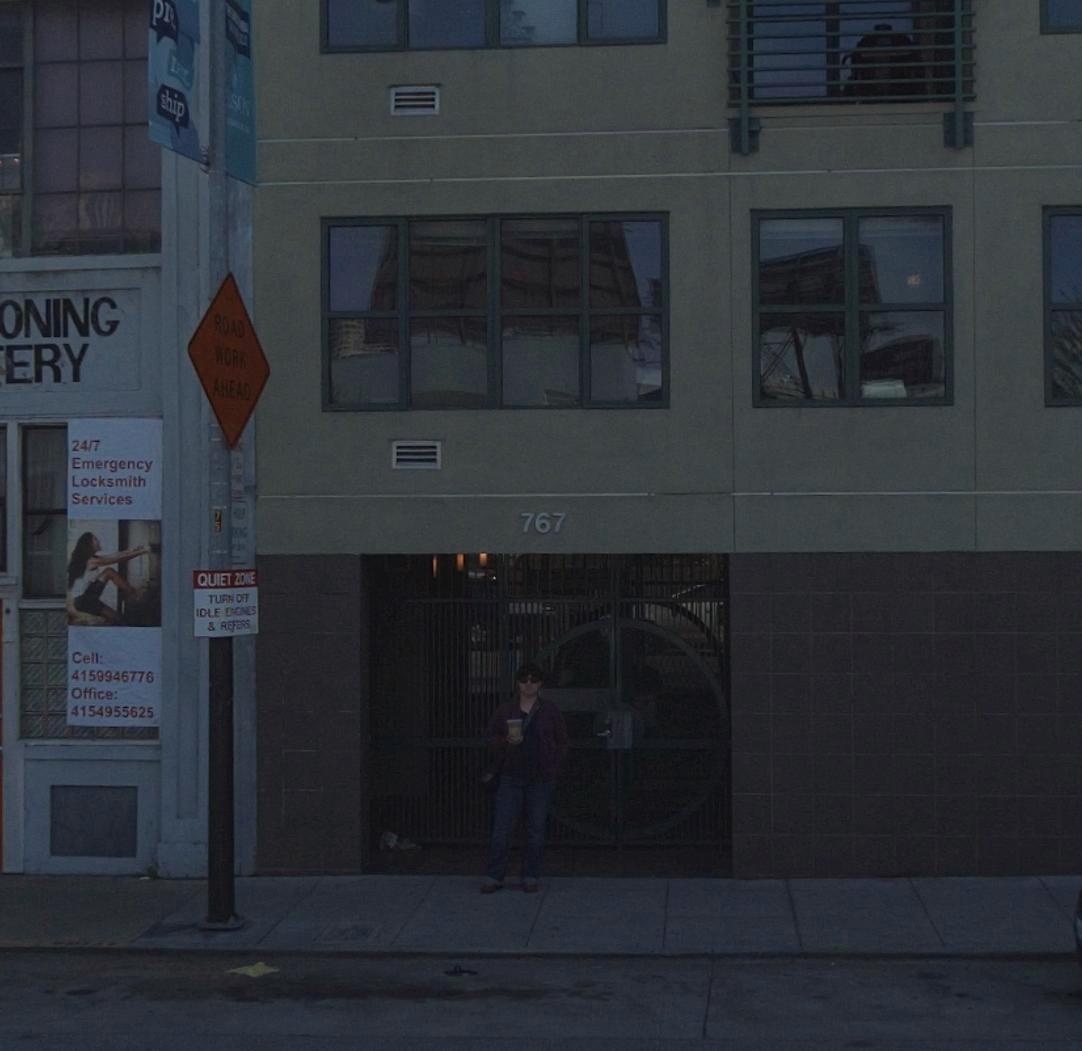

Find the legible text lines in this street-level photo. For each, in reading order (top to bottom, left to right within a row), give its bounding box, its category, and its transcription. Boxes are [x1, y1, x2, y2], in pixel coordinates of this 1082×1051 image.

[160, 87, 187, 123] None: ship
[22, 294, 123, 338] None: NING
[213, 312, 247, 339] None: ROAD
[4, 341, 92, 385] None: ERY
[213, 344, 248, 370] None: WORK
[211, 376, 252, 401] None: AHEAD
[70, 438, 102, 452] None: 24/7
[71, 456, 155, 473] None: Emergency
[70, 473, 148, 488] None: Locksmith
[71, 491, 134, 505] None: Services
[520, 512, 568, 535] StreetNumber: 767
[197, 570, 258, 588] None: QUIET ZONE
[207, 592, 250, 605] None: TURN OFF
[194, 605, 223, 619] None: IDLE
[206, 620, 217, 632] None: &
[71, 650, 104, 665] None: Cell:
[70, 669, 157, 684] None: 4159946776
[70, 685, 118, 699] None: Office:
[69, 705, 154, 719] None: 4154955625